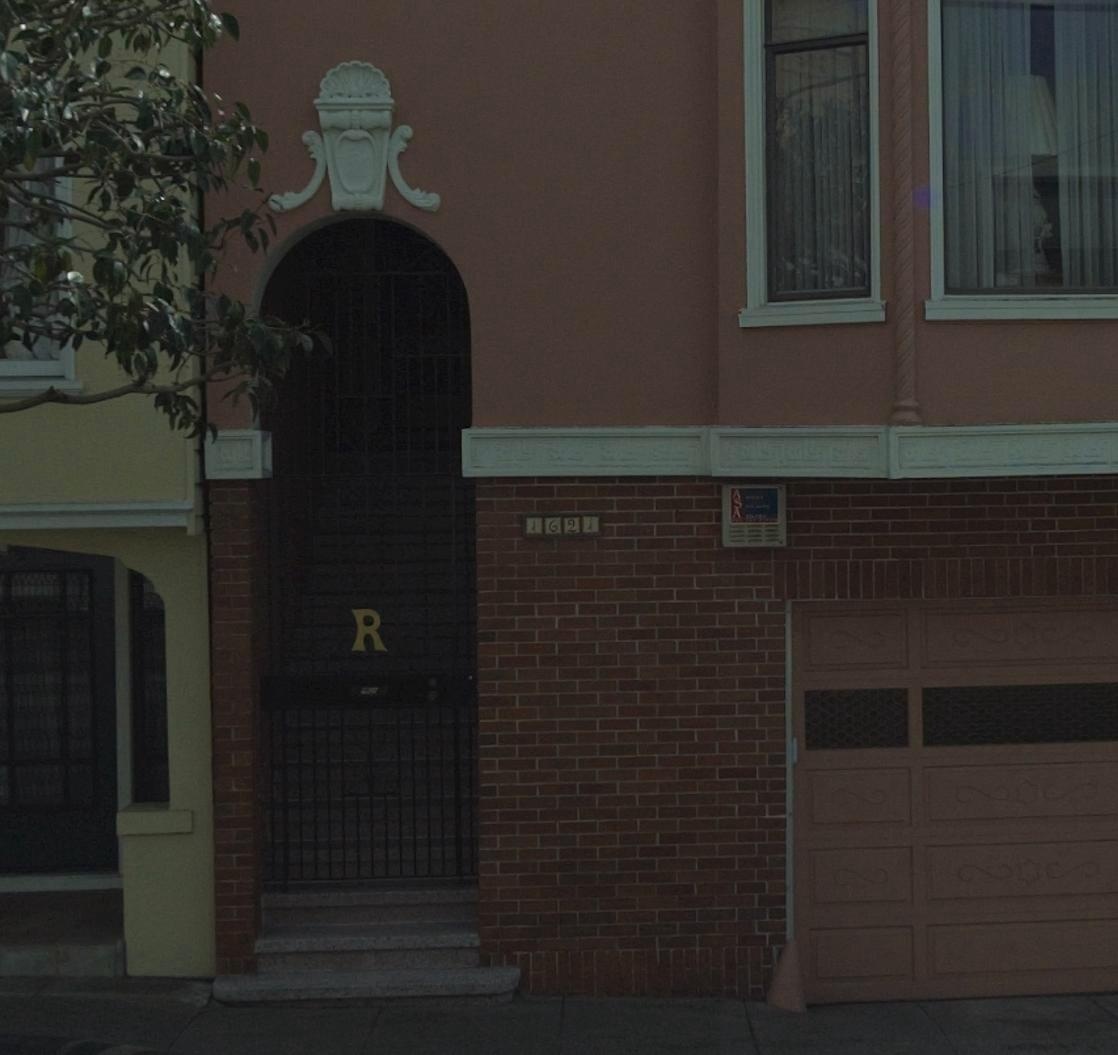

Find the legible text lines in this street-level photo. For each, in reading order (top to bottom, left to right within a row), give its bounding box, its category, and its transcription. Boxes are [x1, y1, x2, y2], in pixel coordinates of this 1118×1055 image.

[729, 487, 745, 521] None: ASA
[529, 514, 595, 535] StreetNumber: 1621
[349, 606, 390, 653] None: R